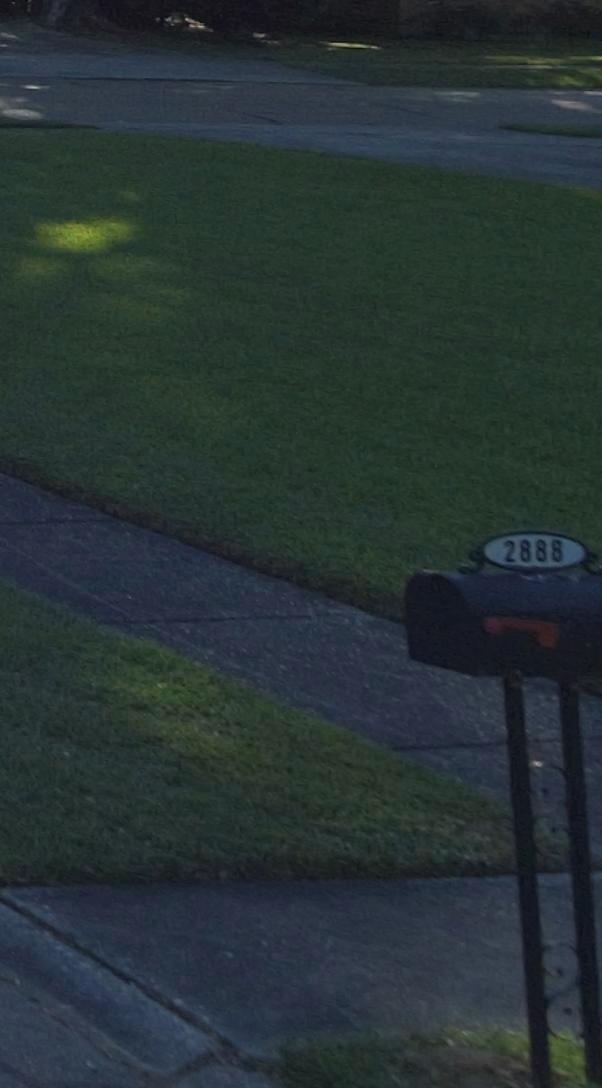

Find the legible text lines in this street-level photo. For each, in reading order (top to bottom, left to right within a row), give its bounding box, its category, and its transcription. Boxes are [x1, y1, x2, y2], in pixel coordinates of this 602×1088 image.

[502, 538, 566, 564] StreetNumber: 2888